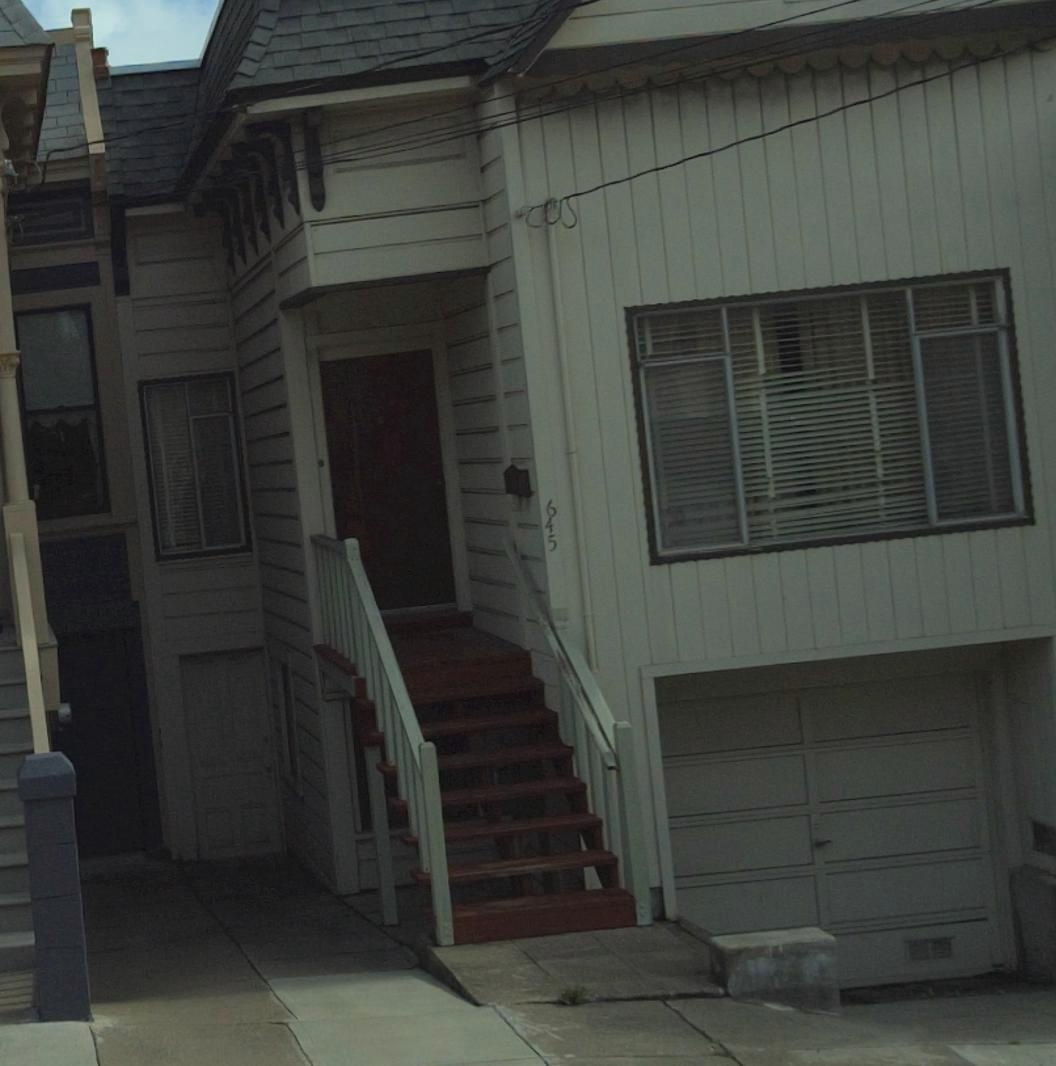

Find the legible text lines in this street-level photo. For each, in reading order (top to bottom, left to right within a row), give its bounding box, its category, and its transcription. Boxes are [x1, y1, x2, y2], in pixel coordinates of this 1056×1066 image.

[544, 496, 559, 554] StreetNumber: 645